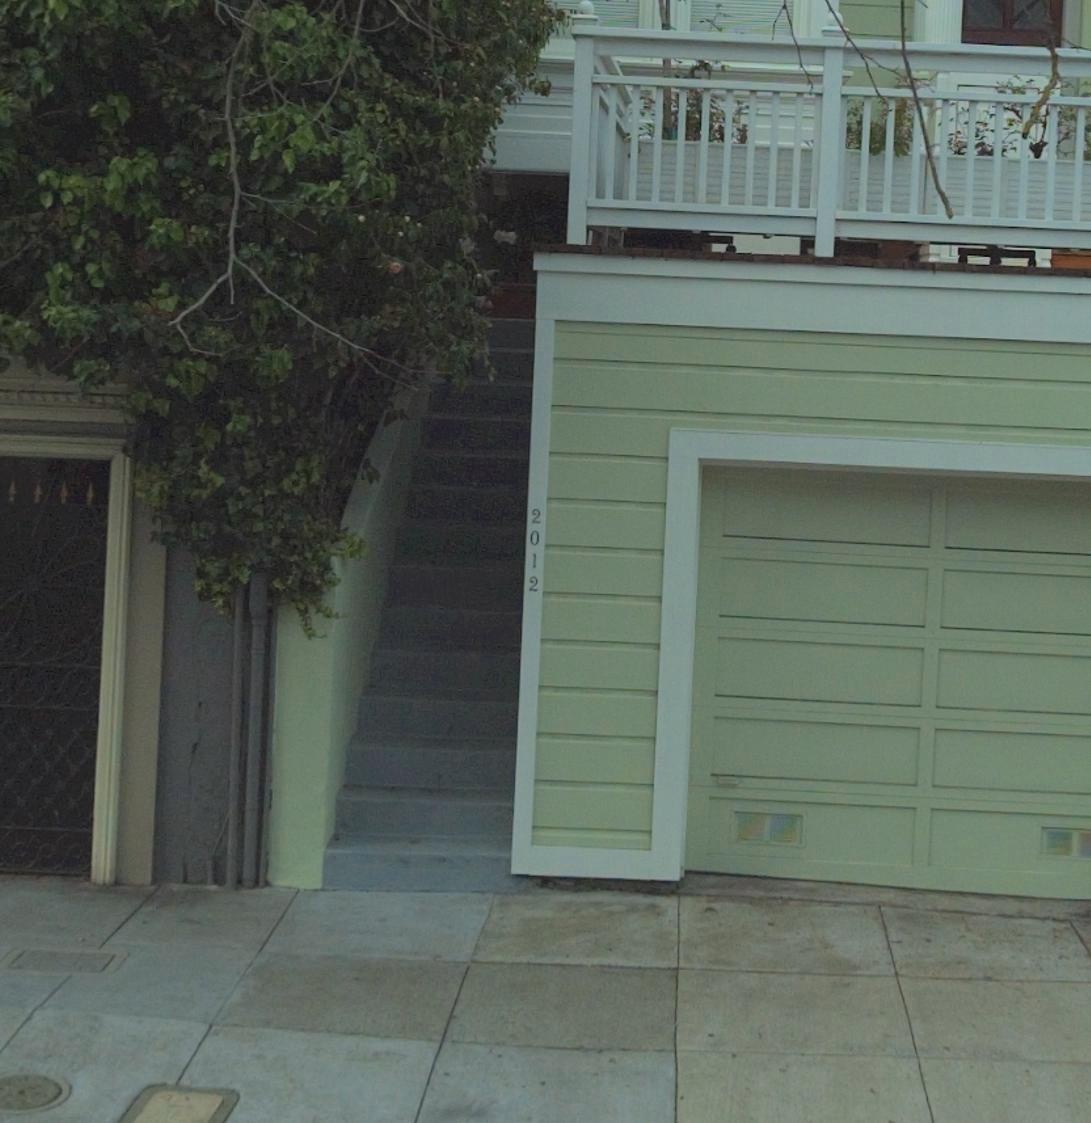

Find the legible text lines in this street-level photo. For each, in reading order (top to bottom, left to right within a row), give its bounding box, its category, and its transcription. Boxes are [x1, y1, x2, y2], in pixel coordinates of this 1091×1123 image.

[525, 506, 545, 594] StreetNumber: 2012